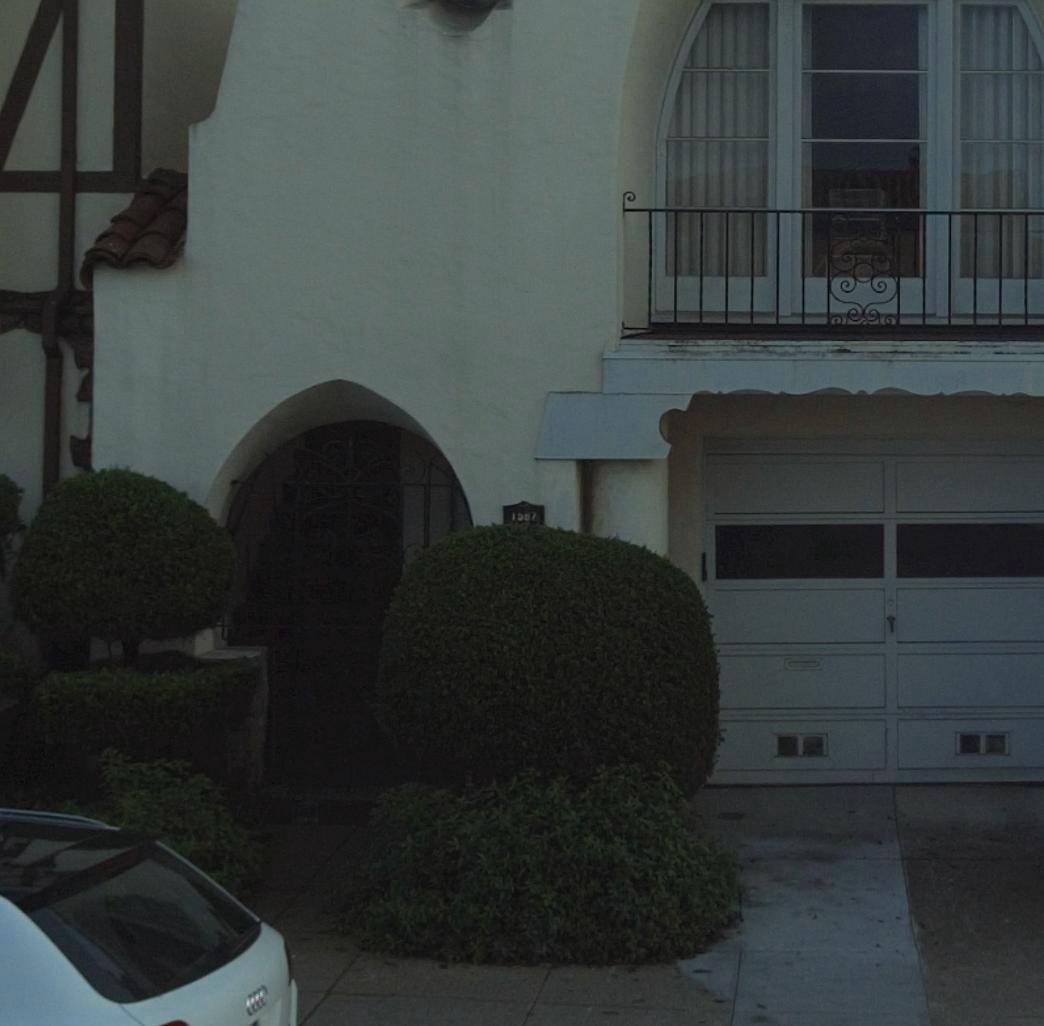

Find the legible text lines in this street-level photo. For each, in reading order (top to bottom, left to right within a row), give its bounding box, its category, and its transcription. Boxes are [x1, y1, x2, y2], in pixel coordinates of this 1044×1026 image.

[510, 509, 539, 523] StreetNumber: 15*7